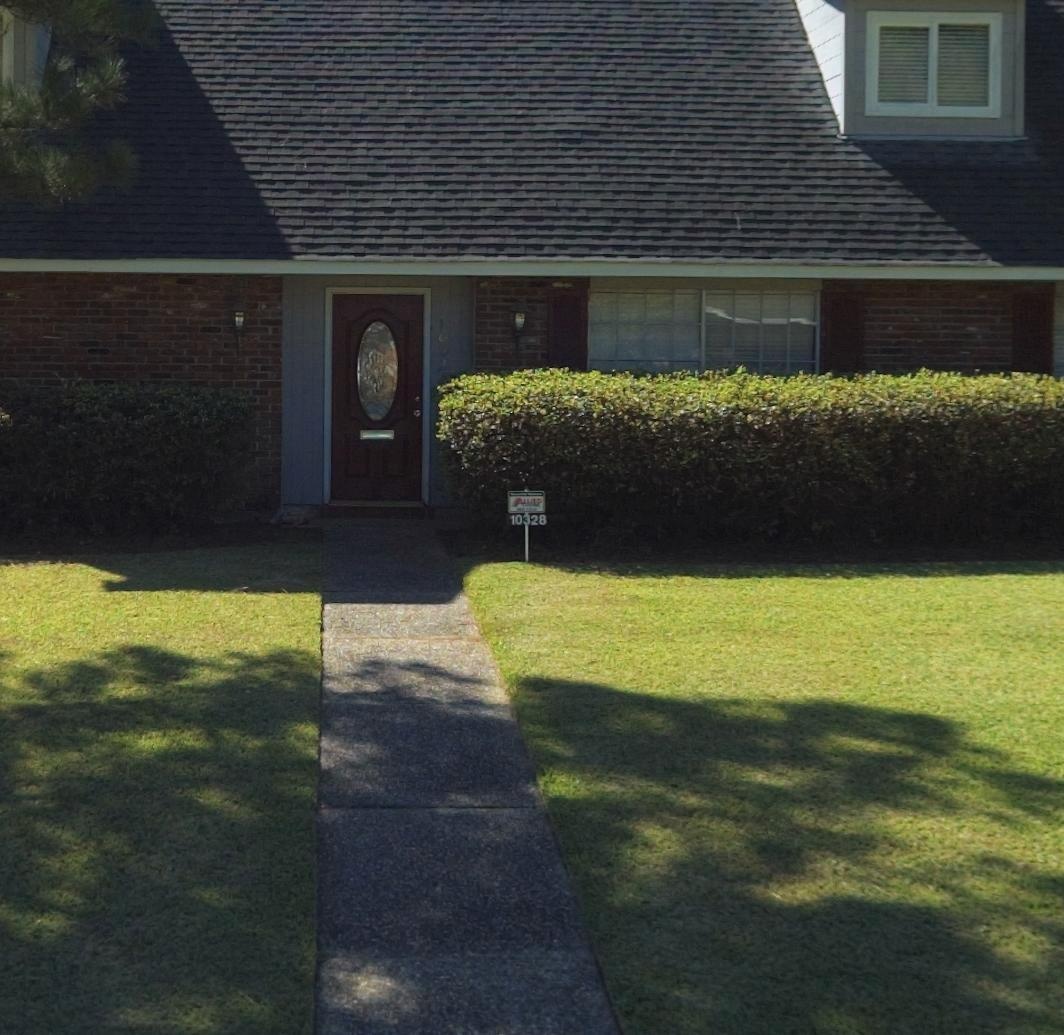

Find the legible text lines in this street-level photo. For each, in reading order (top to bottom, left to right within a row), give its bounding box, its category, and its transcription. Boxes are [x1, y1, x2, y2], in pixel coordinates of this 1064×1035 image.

[507, 512, 549, 527] StreetNumber: 10328